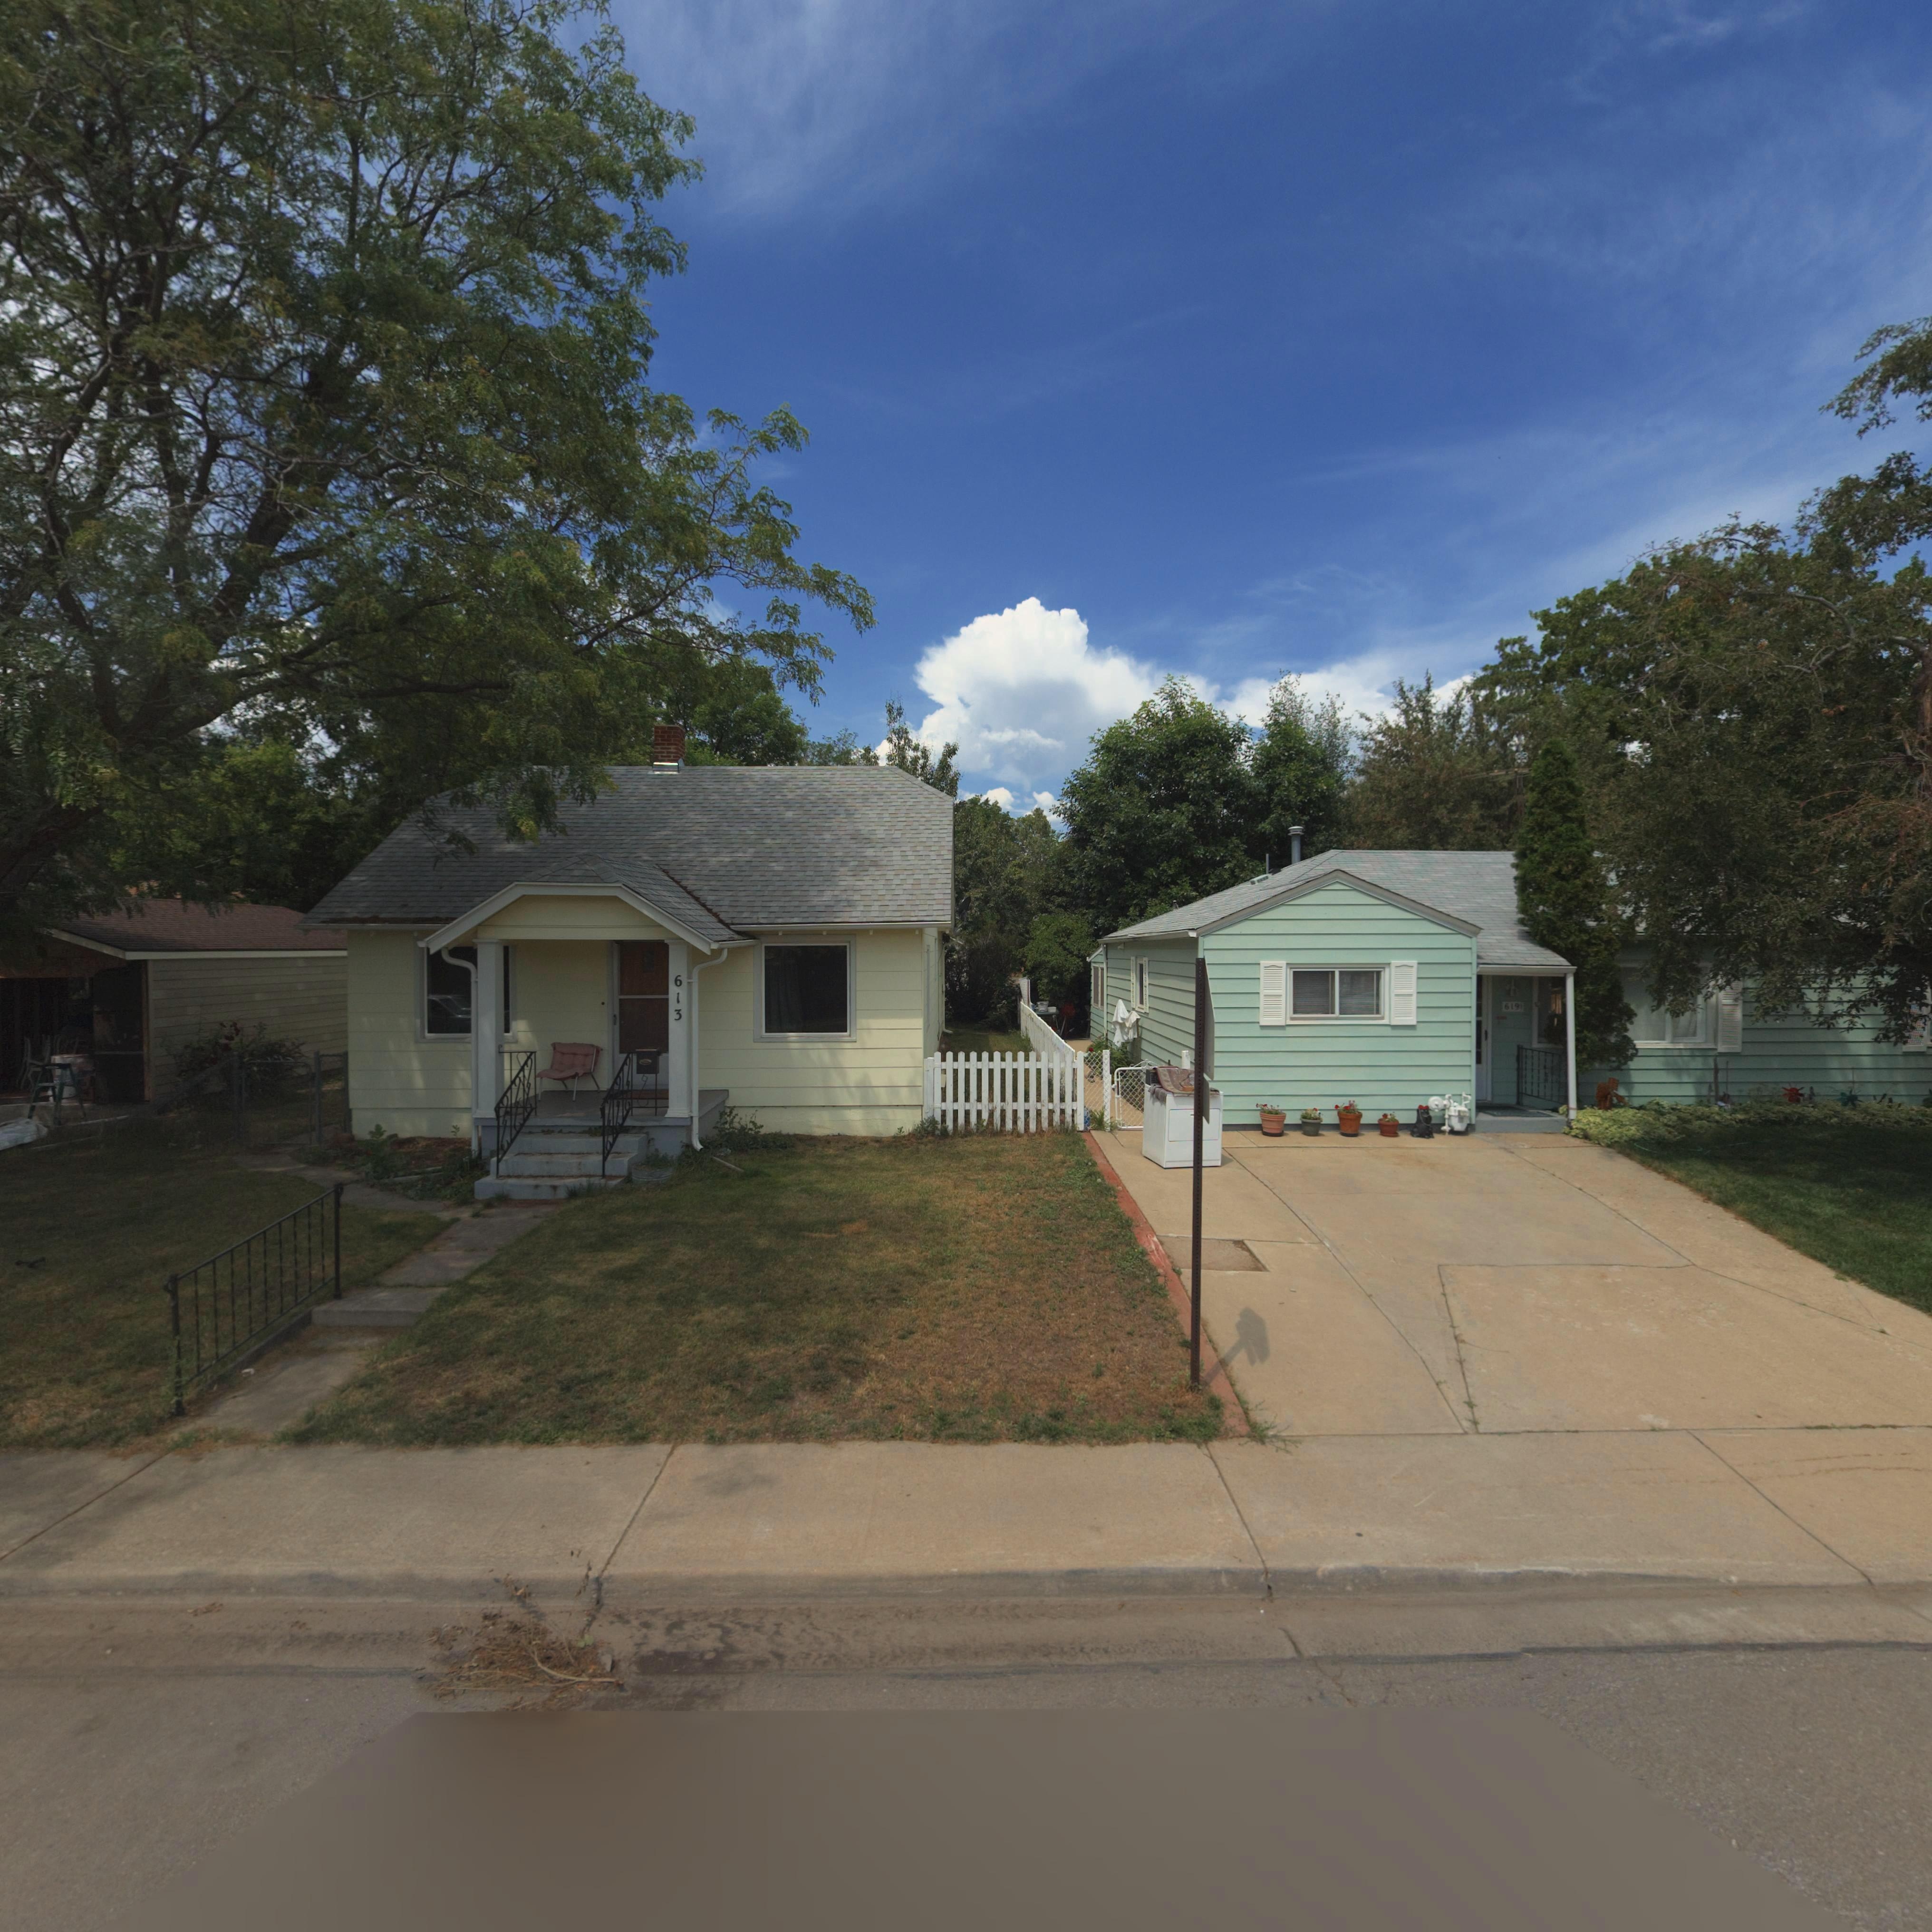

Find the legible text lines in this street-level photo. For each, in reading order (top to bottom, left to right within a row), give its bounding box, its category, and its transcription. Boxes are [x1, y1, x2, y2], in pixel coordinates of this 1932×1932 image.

[674, 974, 682, 1021] StreetNumber: 613
[1504, 1003, 1519, 1010] StreetNumber: 619